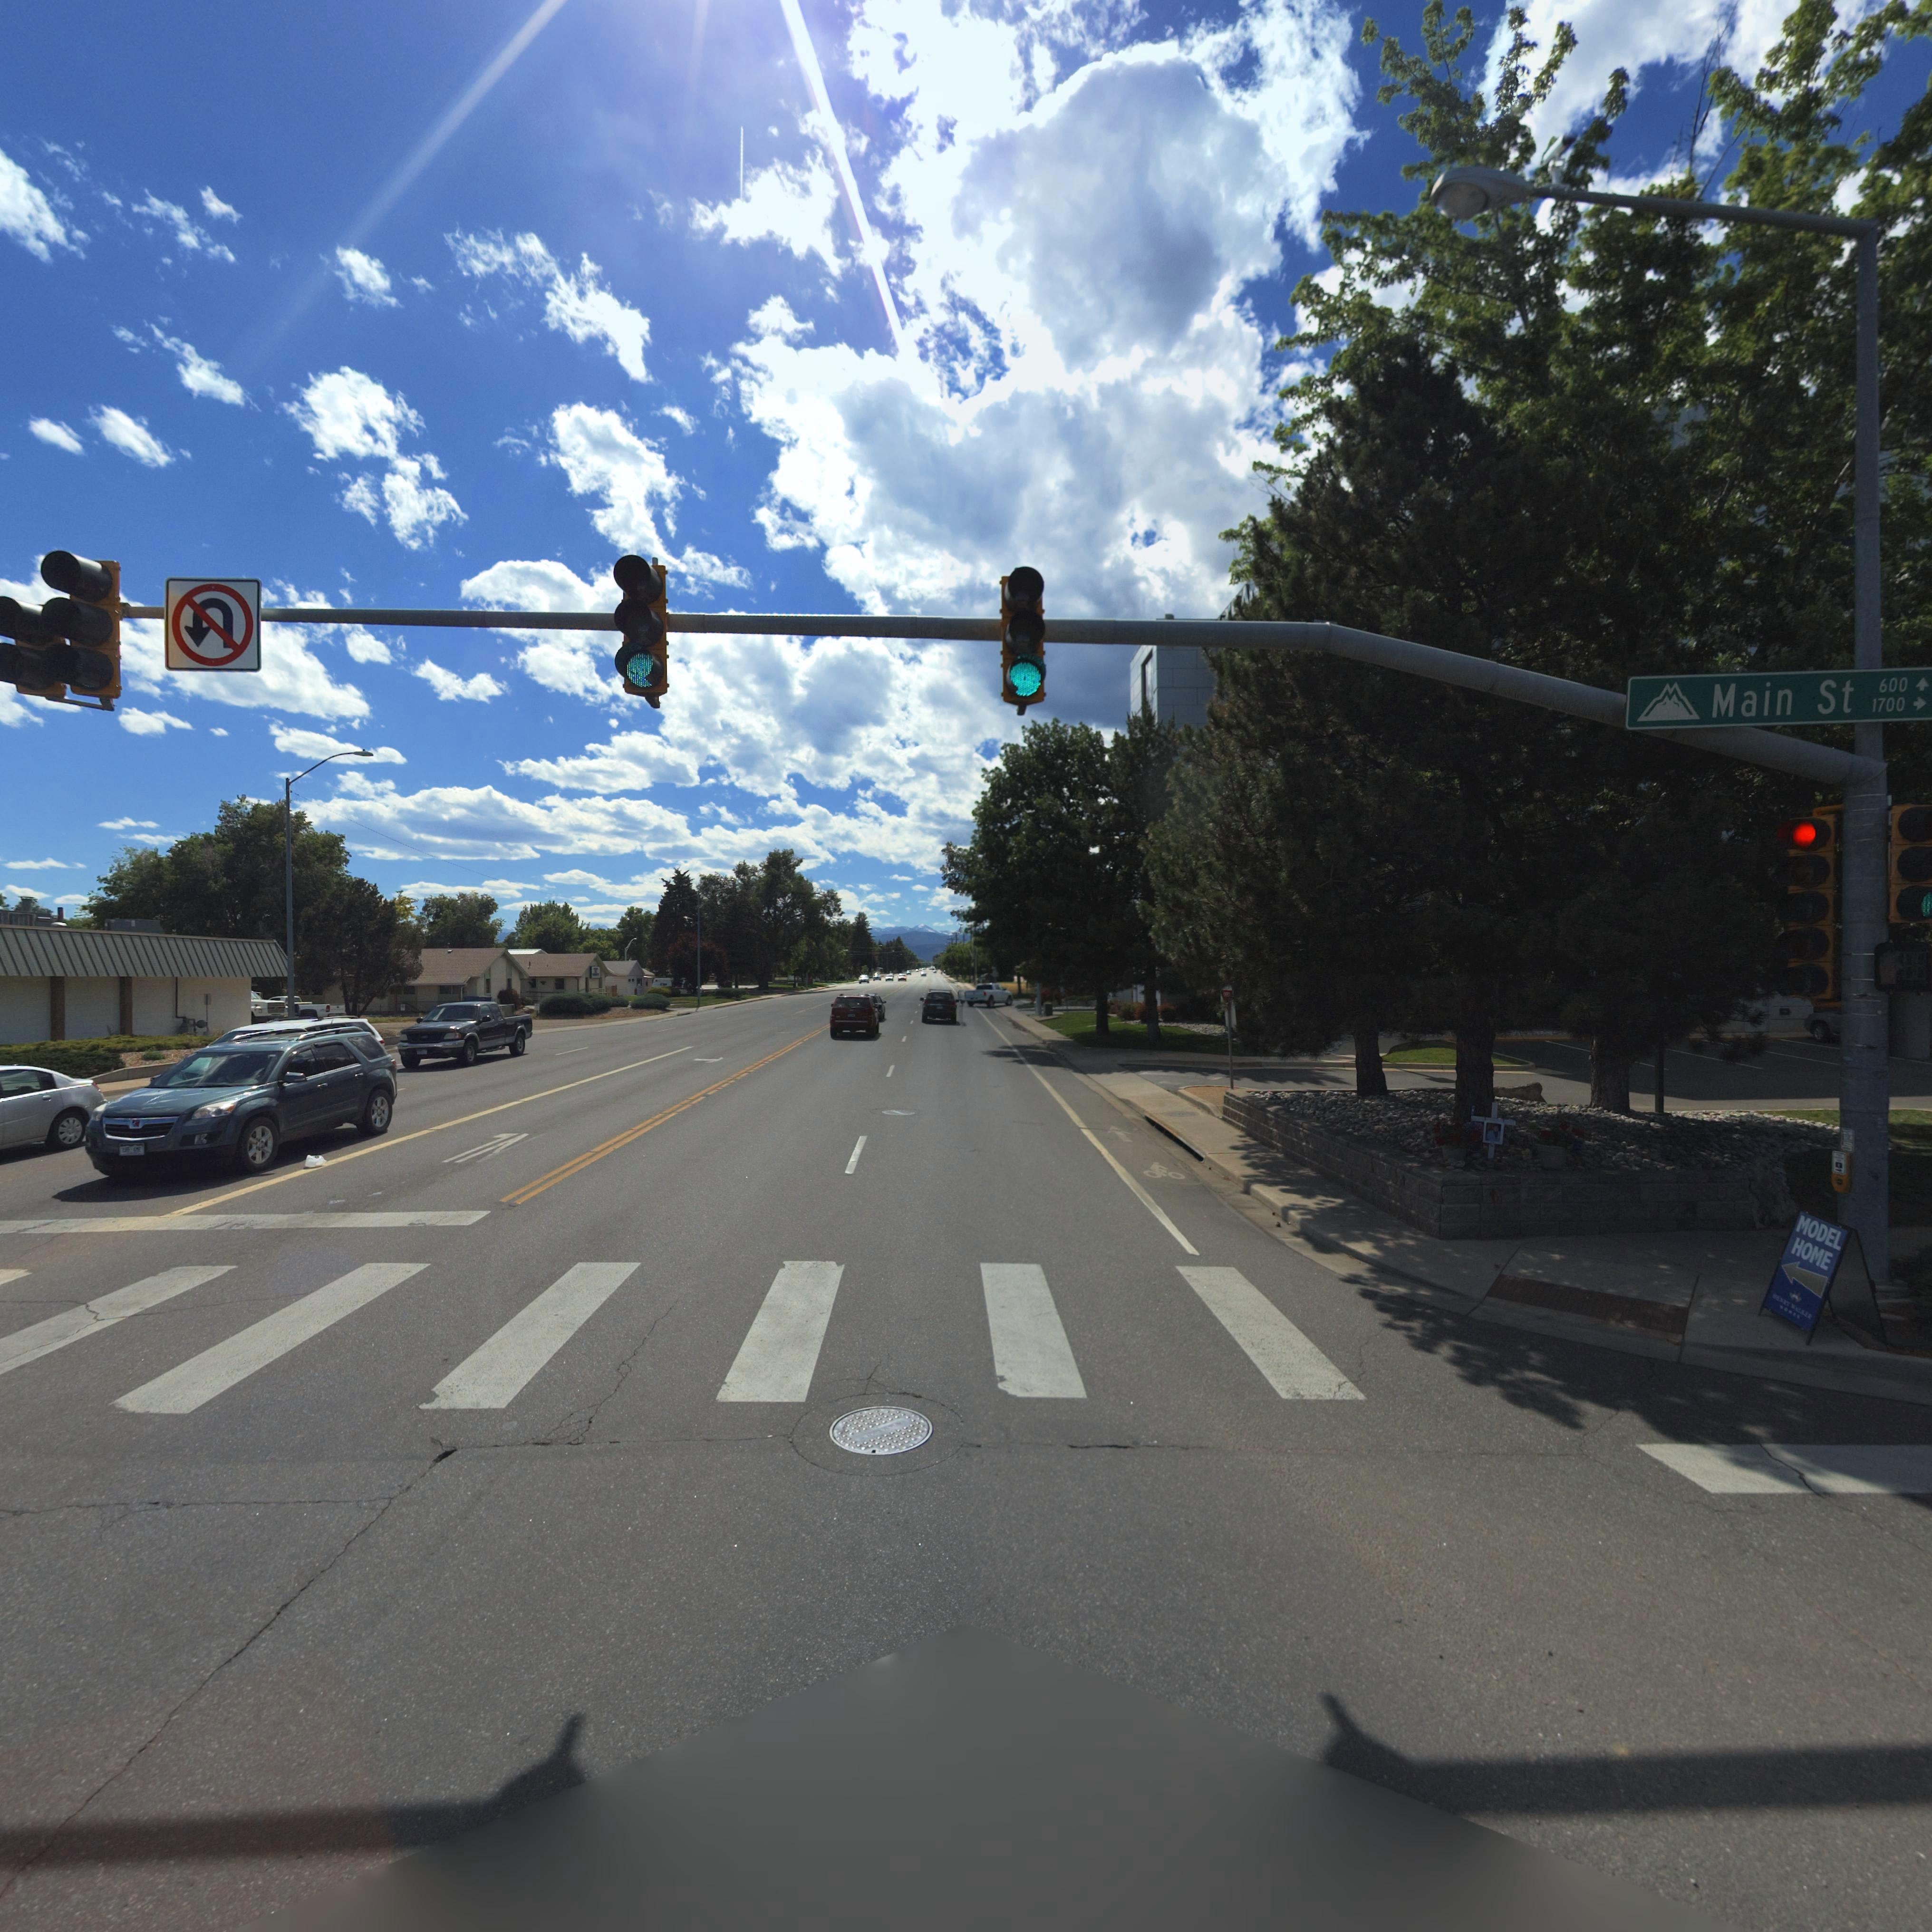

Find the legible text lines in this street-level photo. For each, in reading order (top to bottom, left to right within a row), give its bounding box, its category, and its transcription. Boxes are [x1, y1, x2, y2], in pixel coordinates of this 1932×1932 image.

[1877, 676, 1909, 694] StreetNumberRange: 600
[1710, 677, 1855, 719] StreetName: Main St
[1872, 695, 1929, 713] StreetNumberRange: 1700 ->